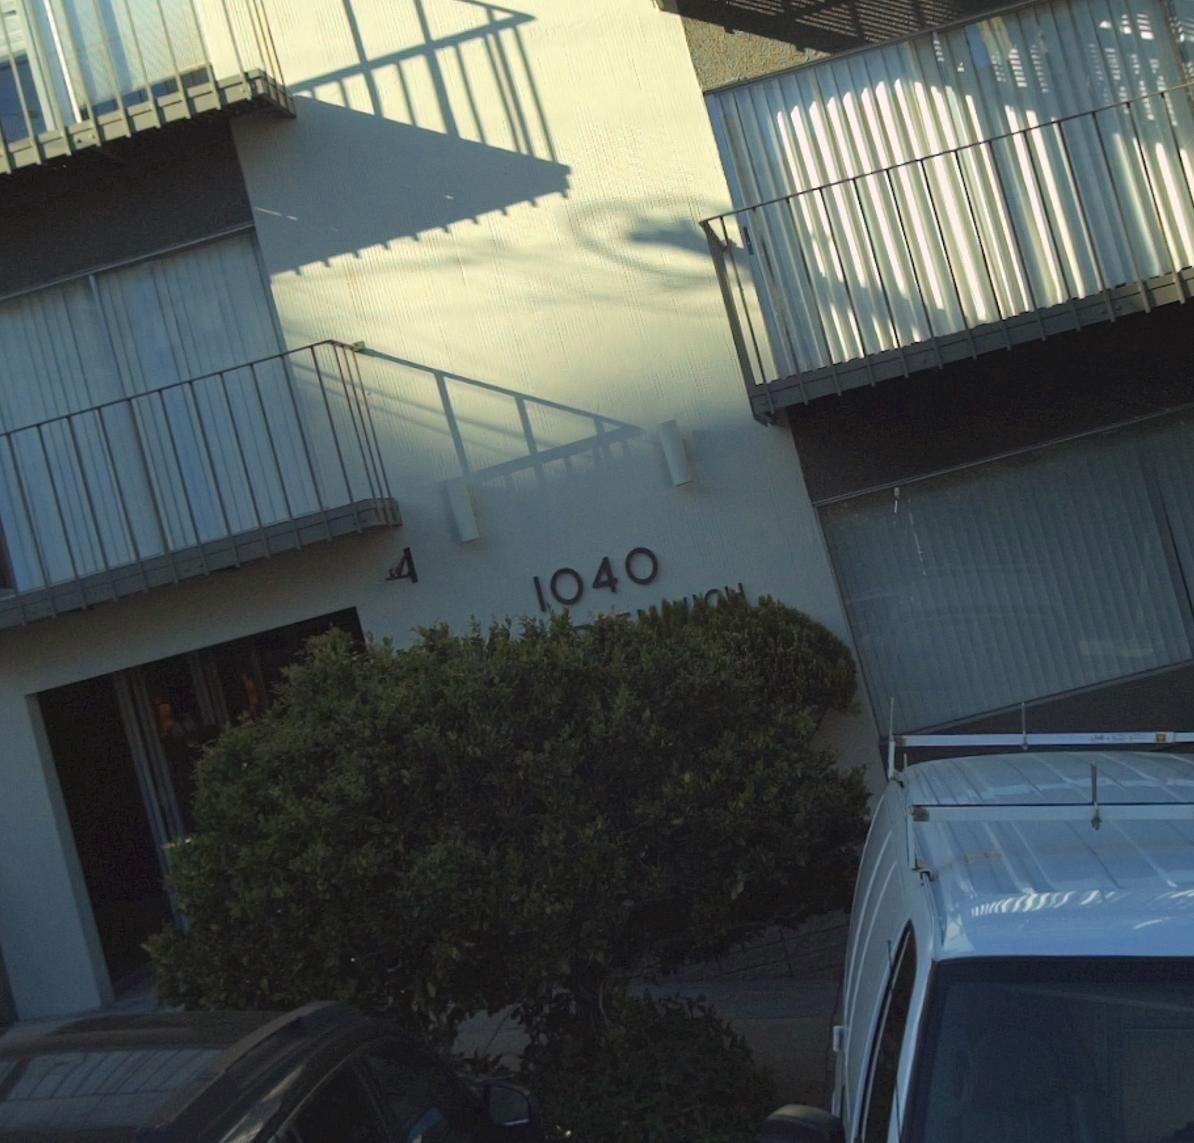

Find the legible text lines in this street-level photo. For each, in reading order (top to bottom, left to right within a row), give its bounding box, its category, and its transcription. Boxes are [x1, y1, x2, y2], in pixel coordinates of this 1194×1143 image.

[529, 542, 664, 617] StreetNumber: 1040